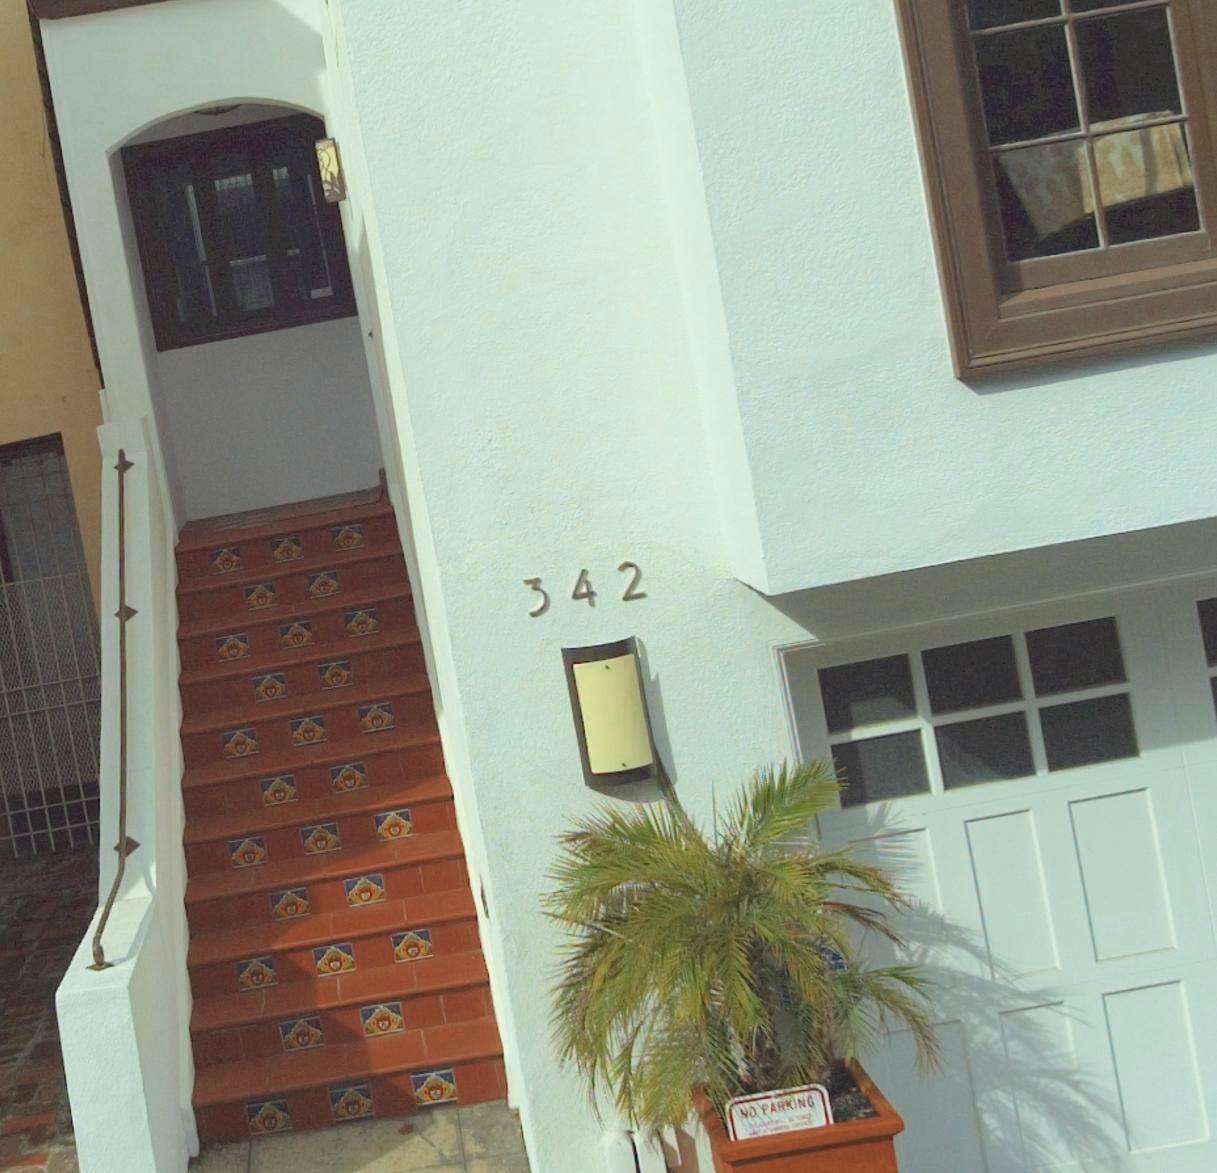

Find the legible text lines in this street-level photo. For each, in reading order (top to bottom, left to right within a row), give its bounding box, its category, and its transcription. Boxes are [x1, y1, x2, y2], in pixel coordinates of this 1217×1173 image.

[520, 558, 650, 618] StreetNumber: 342
[738, 1094, 815, 1120] None: NO PARKING